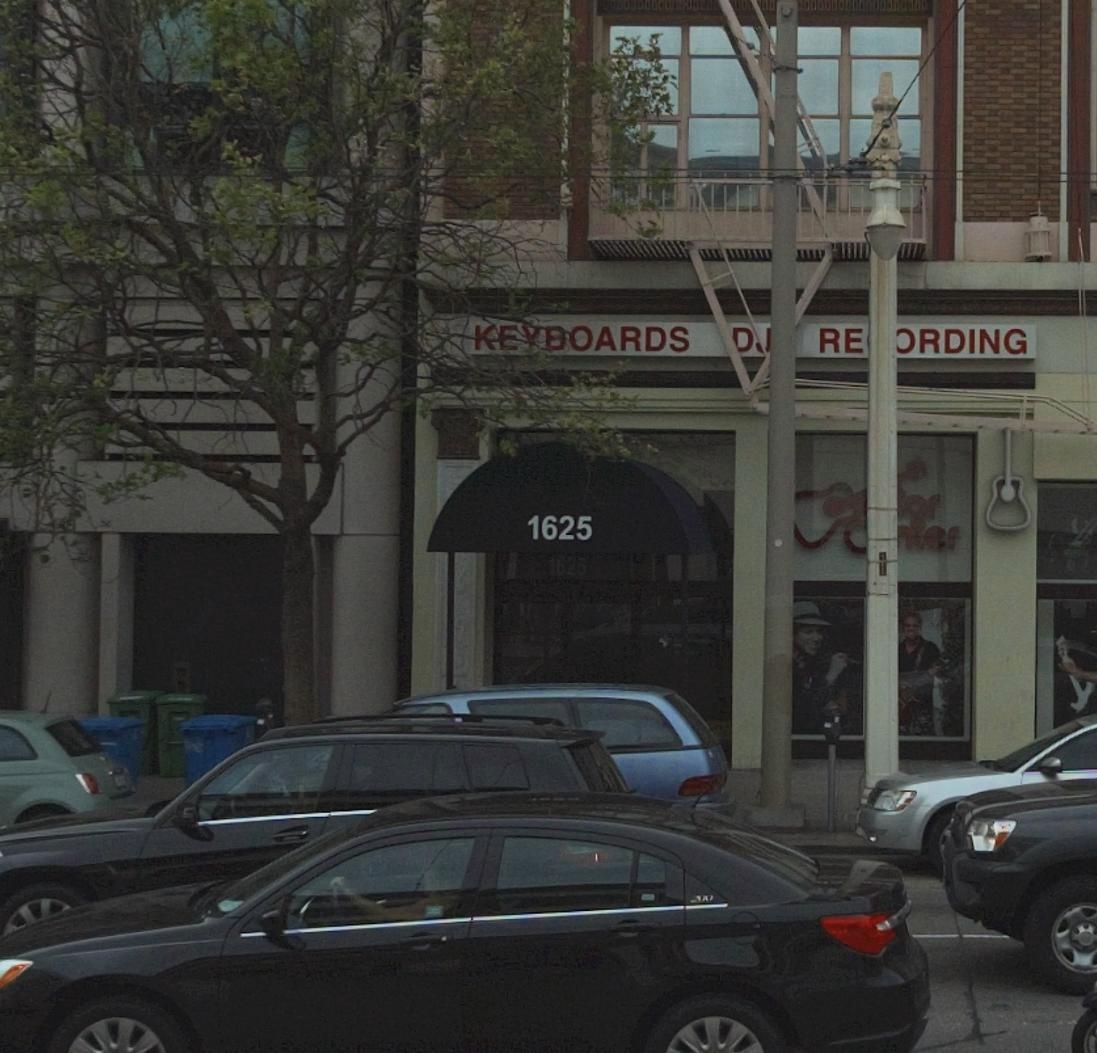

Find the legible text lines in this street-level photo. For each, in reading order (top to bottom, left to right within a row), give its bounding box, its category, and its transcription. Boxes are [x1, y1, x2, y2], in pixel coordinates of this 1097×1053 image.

[470, 321, 693, 357] None: KEYBOARDS
[816, 324, 1033, 361] None: RE**RDING
[900, 492, 944, 522] BusinessName: ar
[522, 511, 596, 544] StreetNumber: 1625
[909, 513, 963, 555] BusinessName: ter
[547, 553, 589, 578] StreetNumber: 1625
[1066, 667, 1097, 722] None: y
[700, 893, 710, 904] None: A